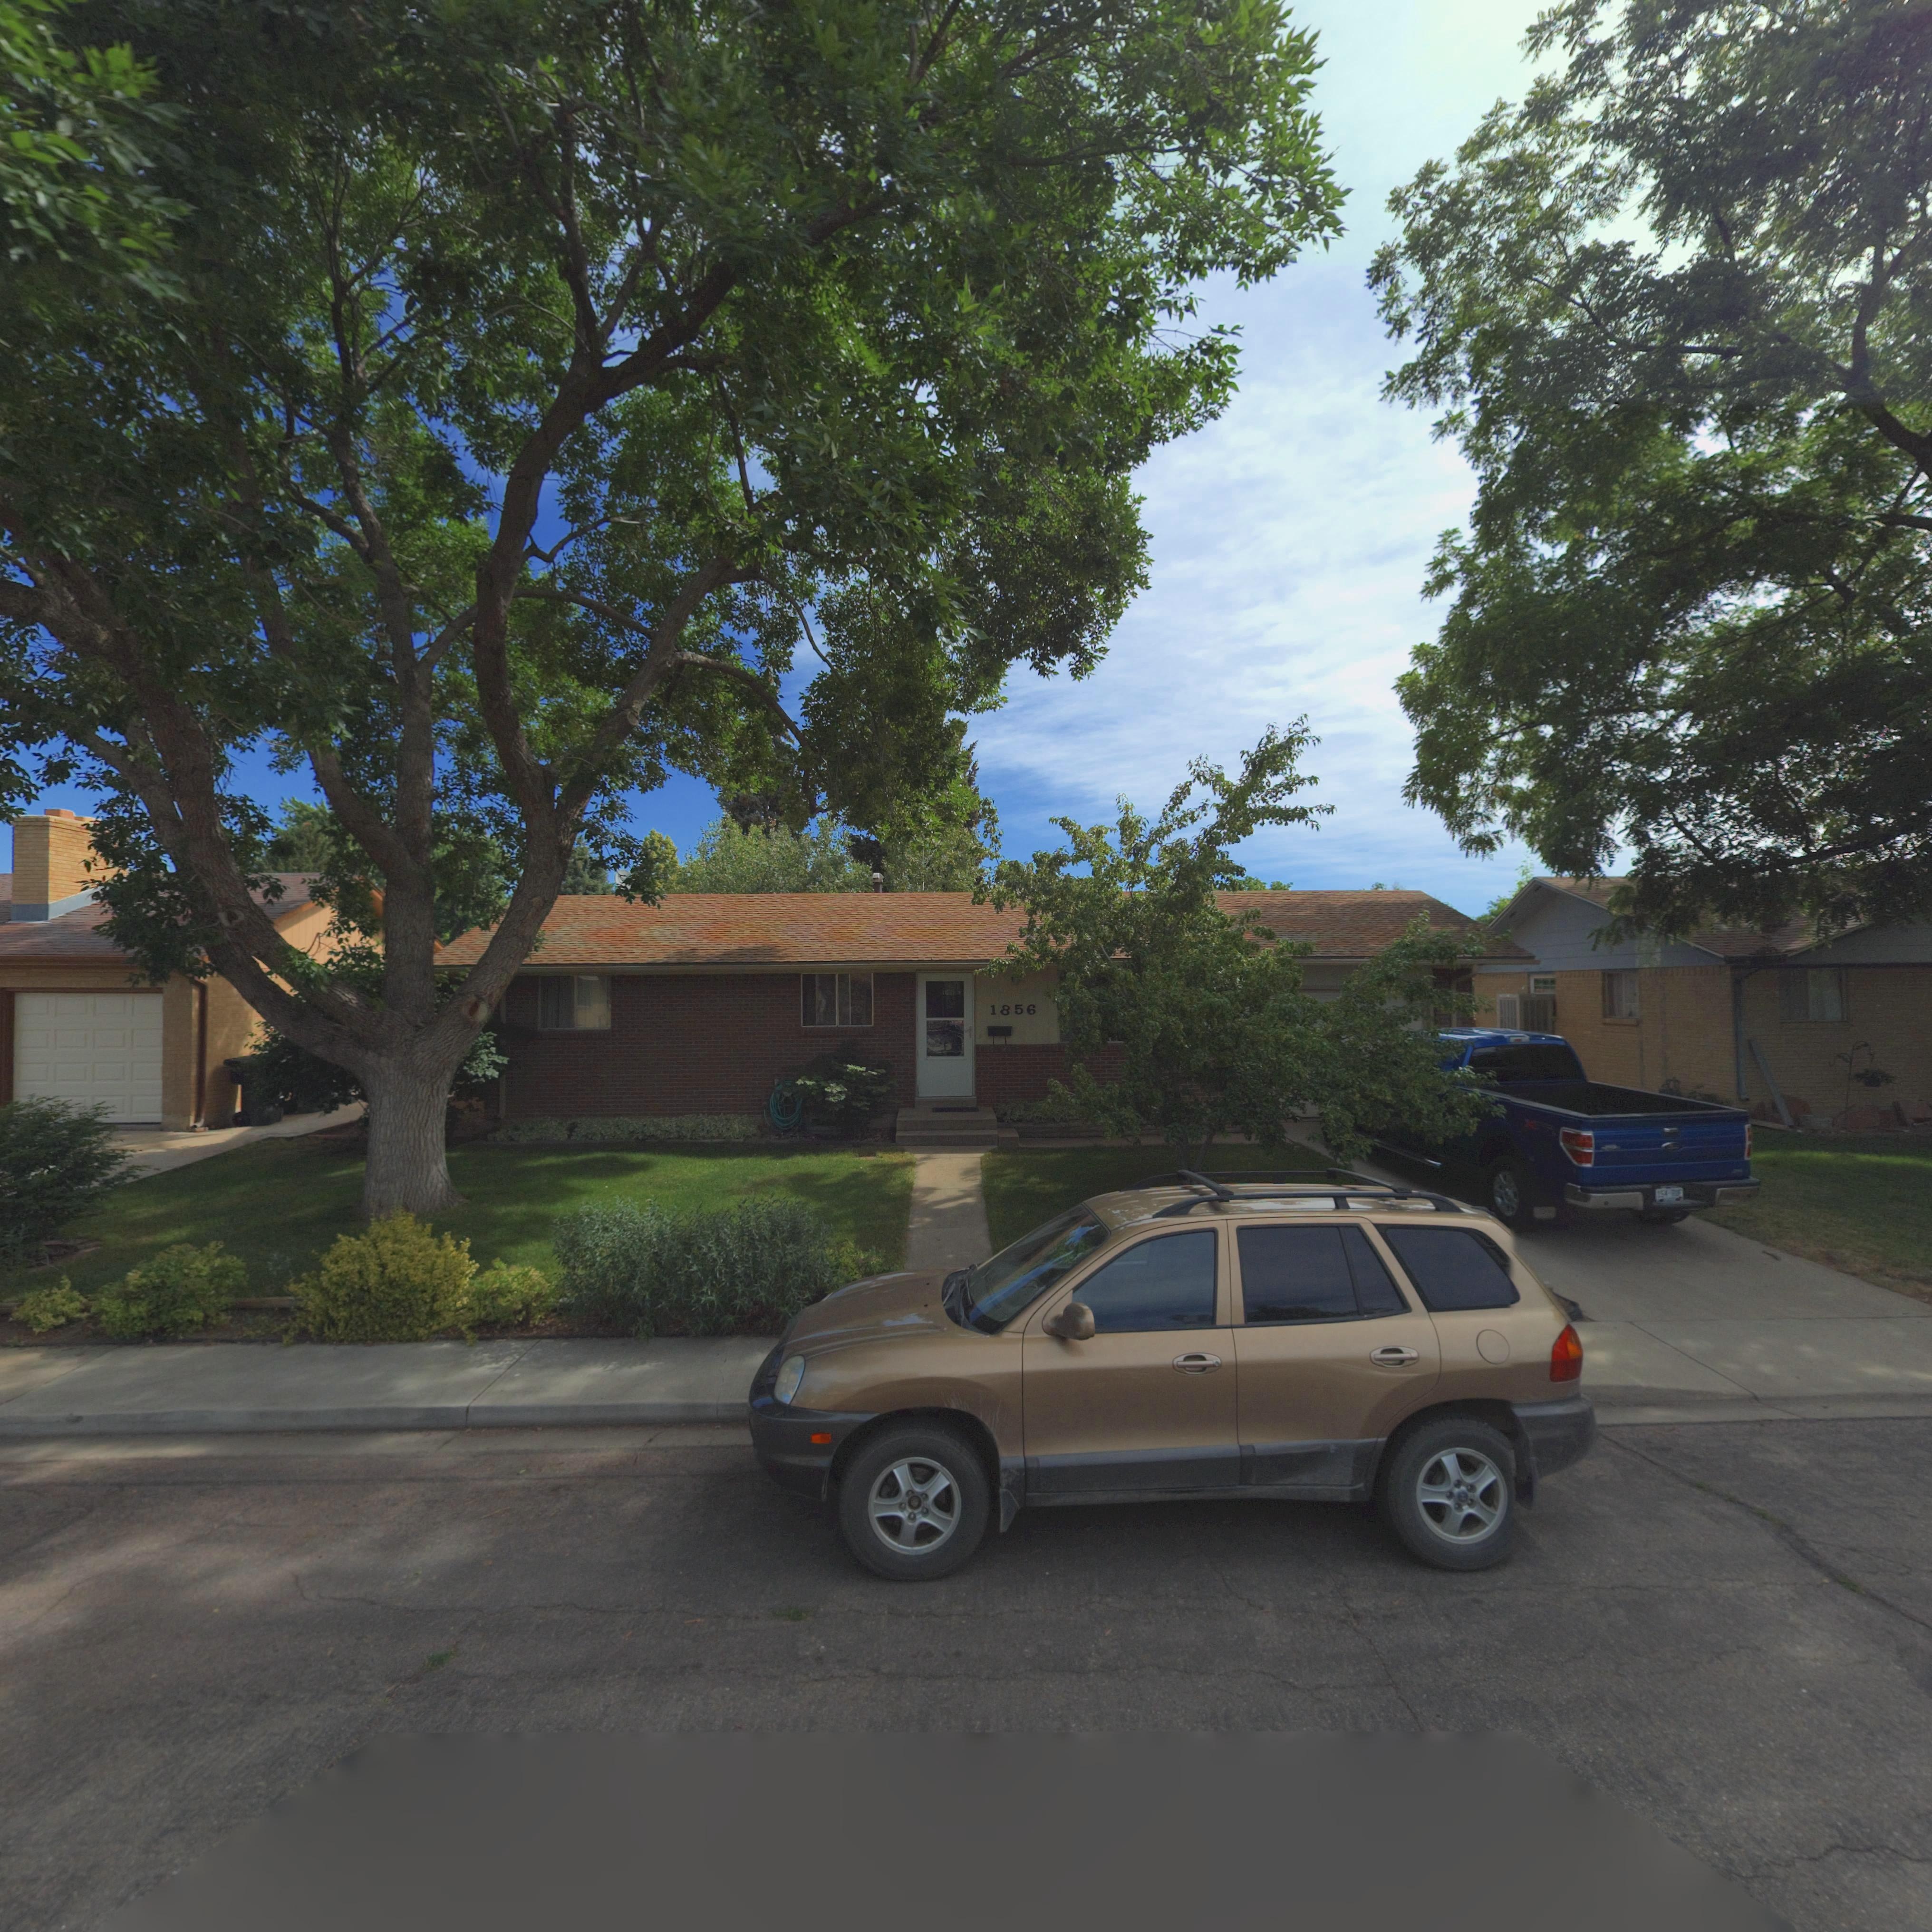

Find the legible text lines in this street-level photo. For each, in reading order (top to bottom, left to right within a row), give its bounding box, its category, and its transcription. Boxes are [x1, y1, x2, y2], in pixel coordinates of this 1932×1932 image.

[989, 1004, 1036, 1016] StreetNumber: 1856